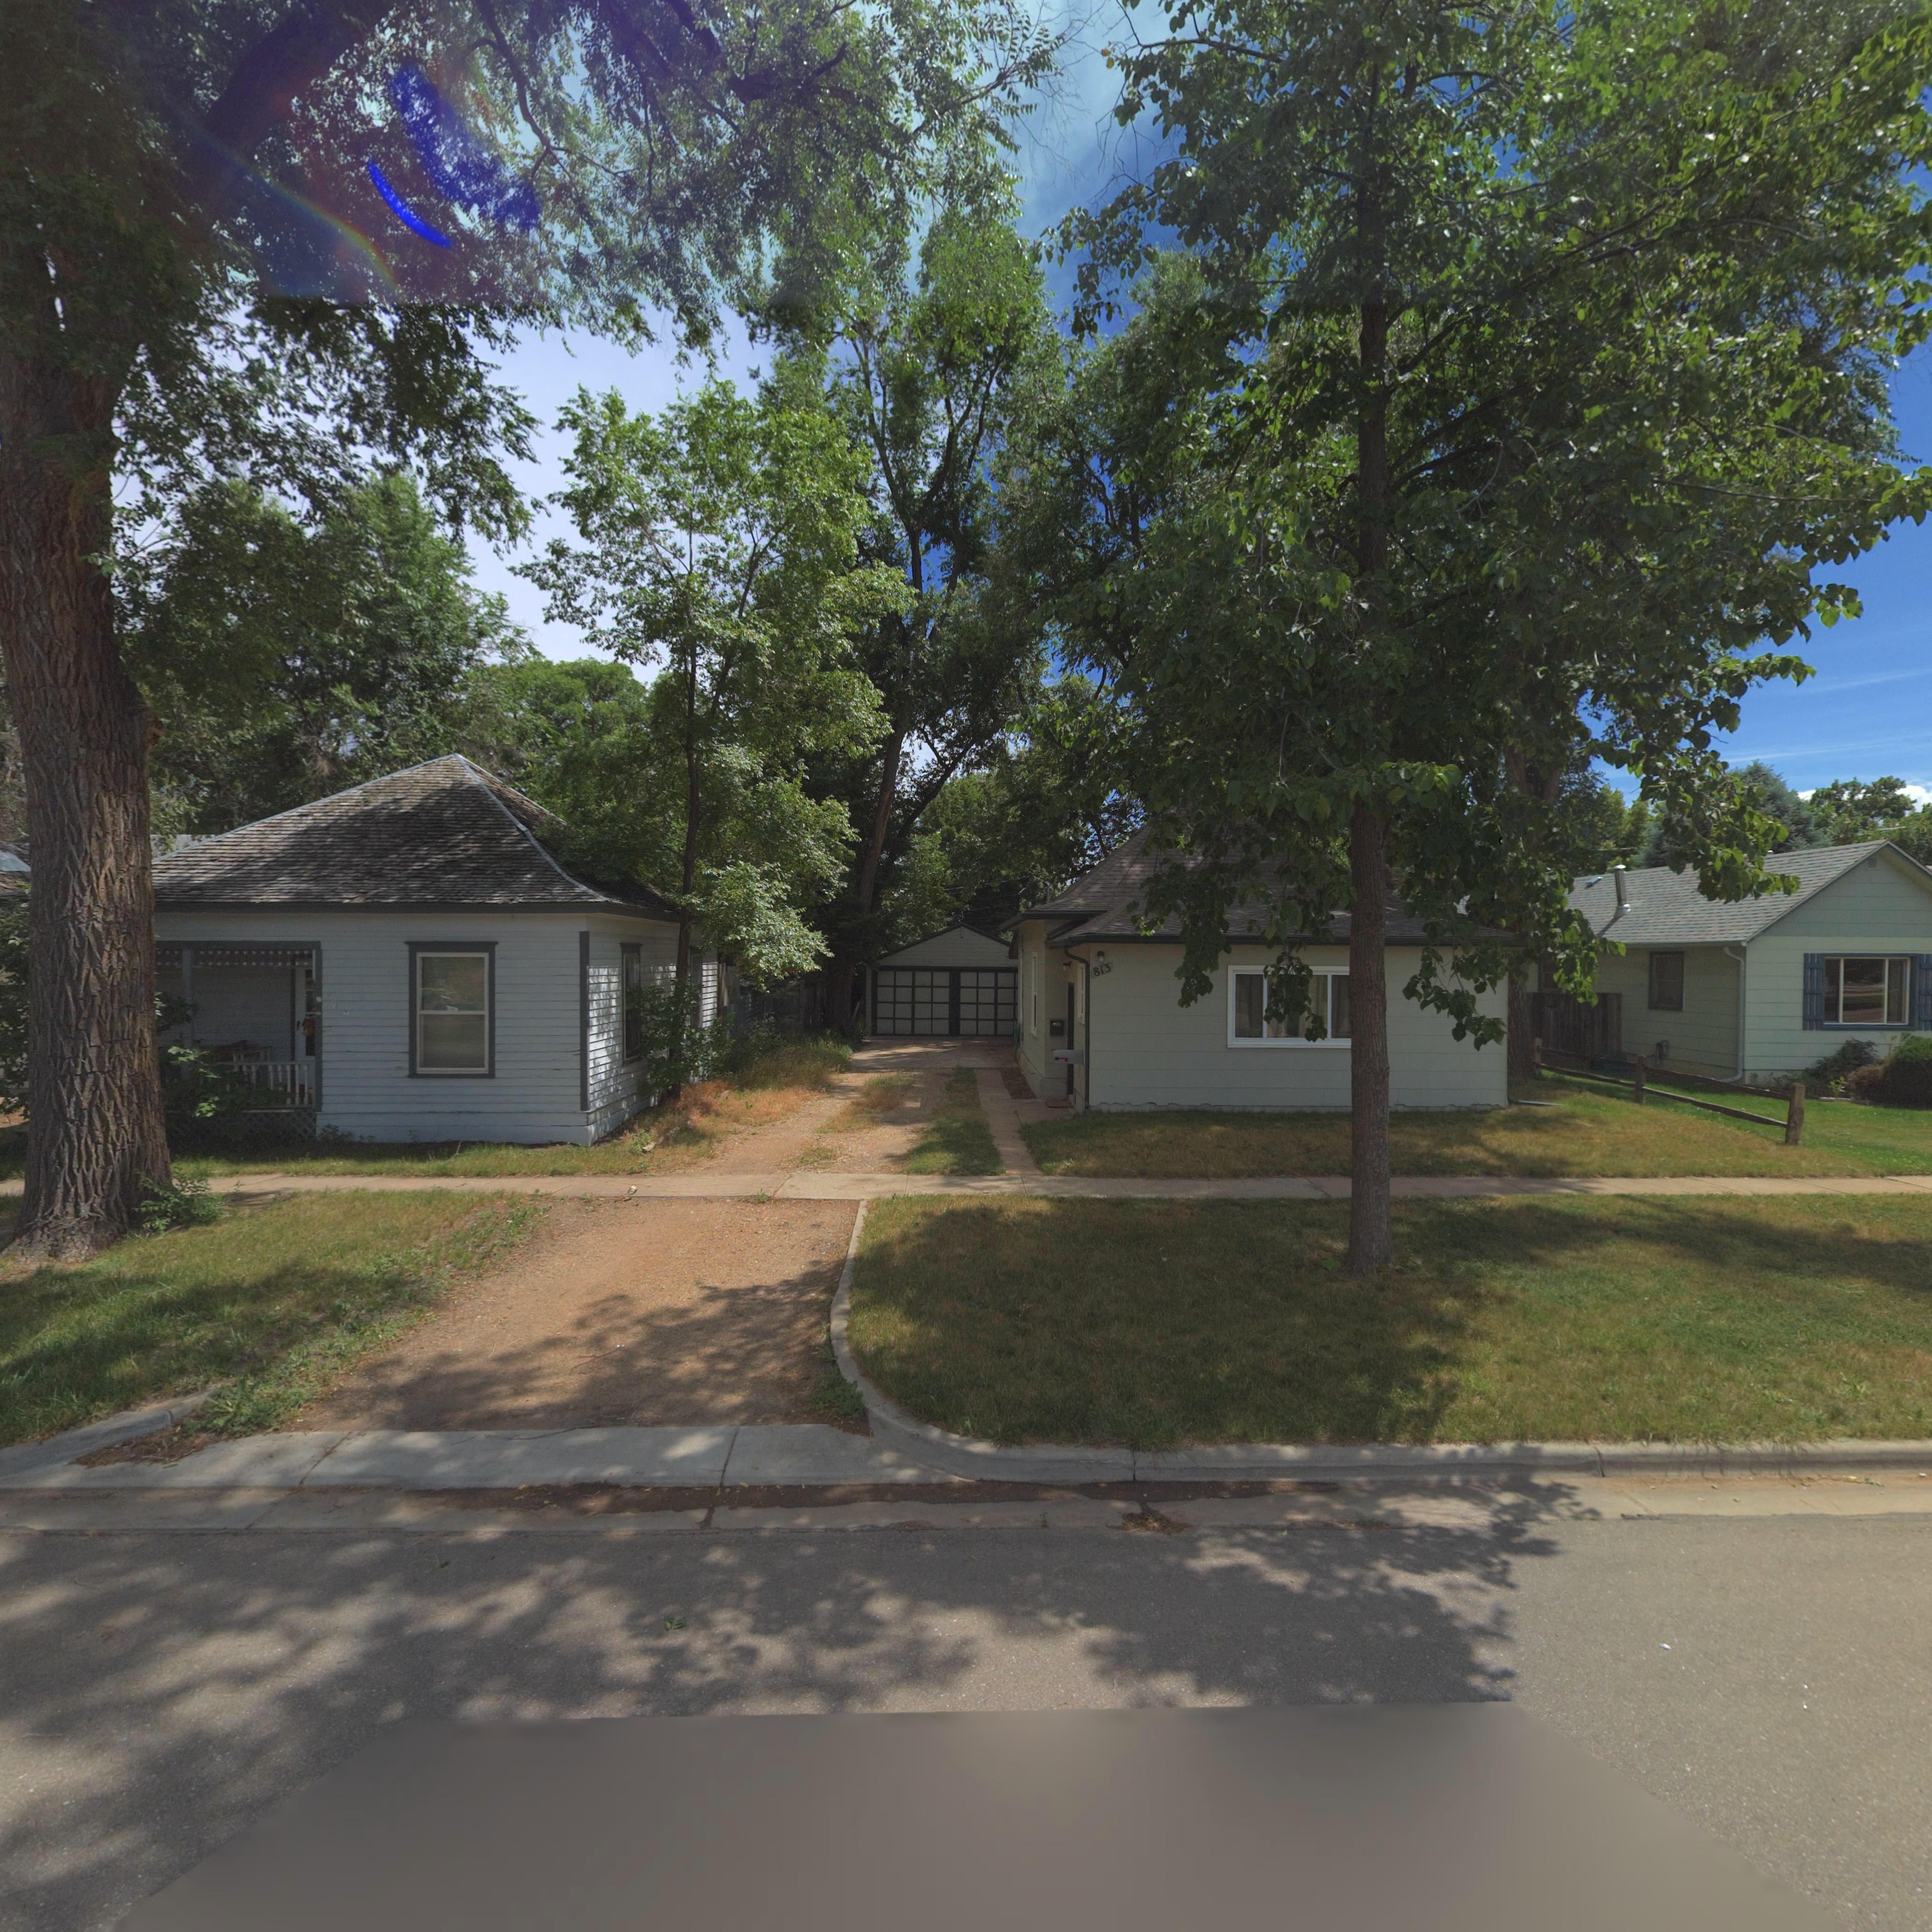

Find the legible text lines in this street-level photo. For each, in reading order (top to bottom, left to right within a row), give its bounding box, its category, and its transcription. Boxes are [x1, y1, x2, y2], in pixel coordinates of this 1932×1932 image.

[1092, 962, 1111, 977] StreetNumber: 813
[325, 992, 351, 1020] StreetNumber: **9